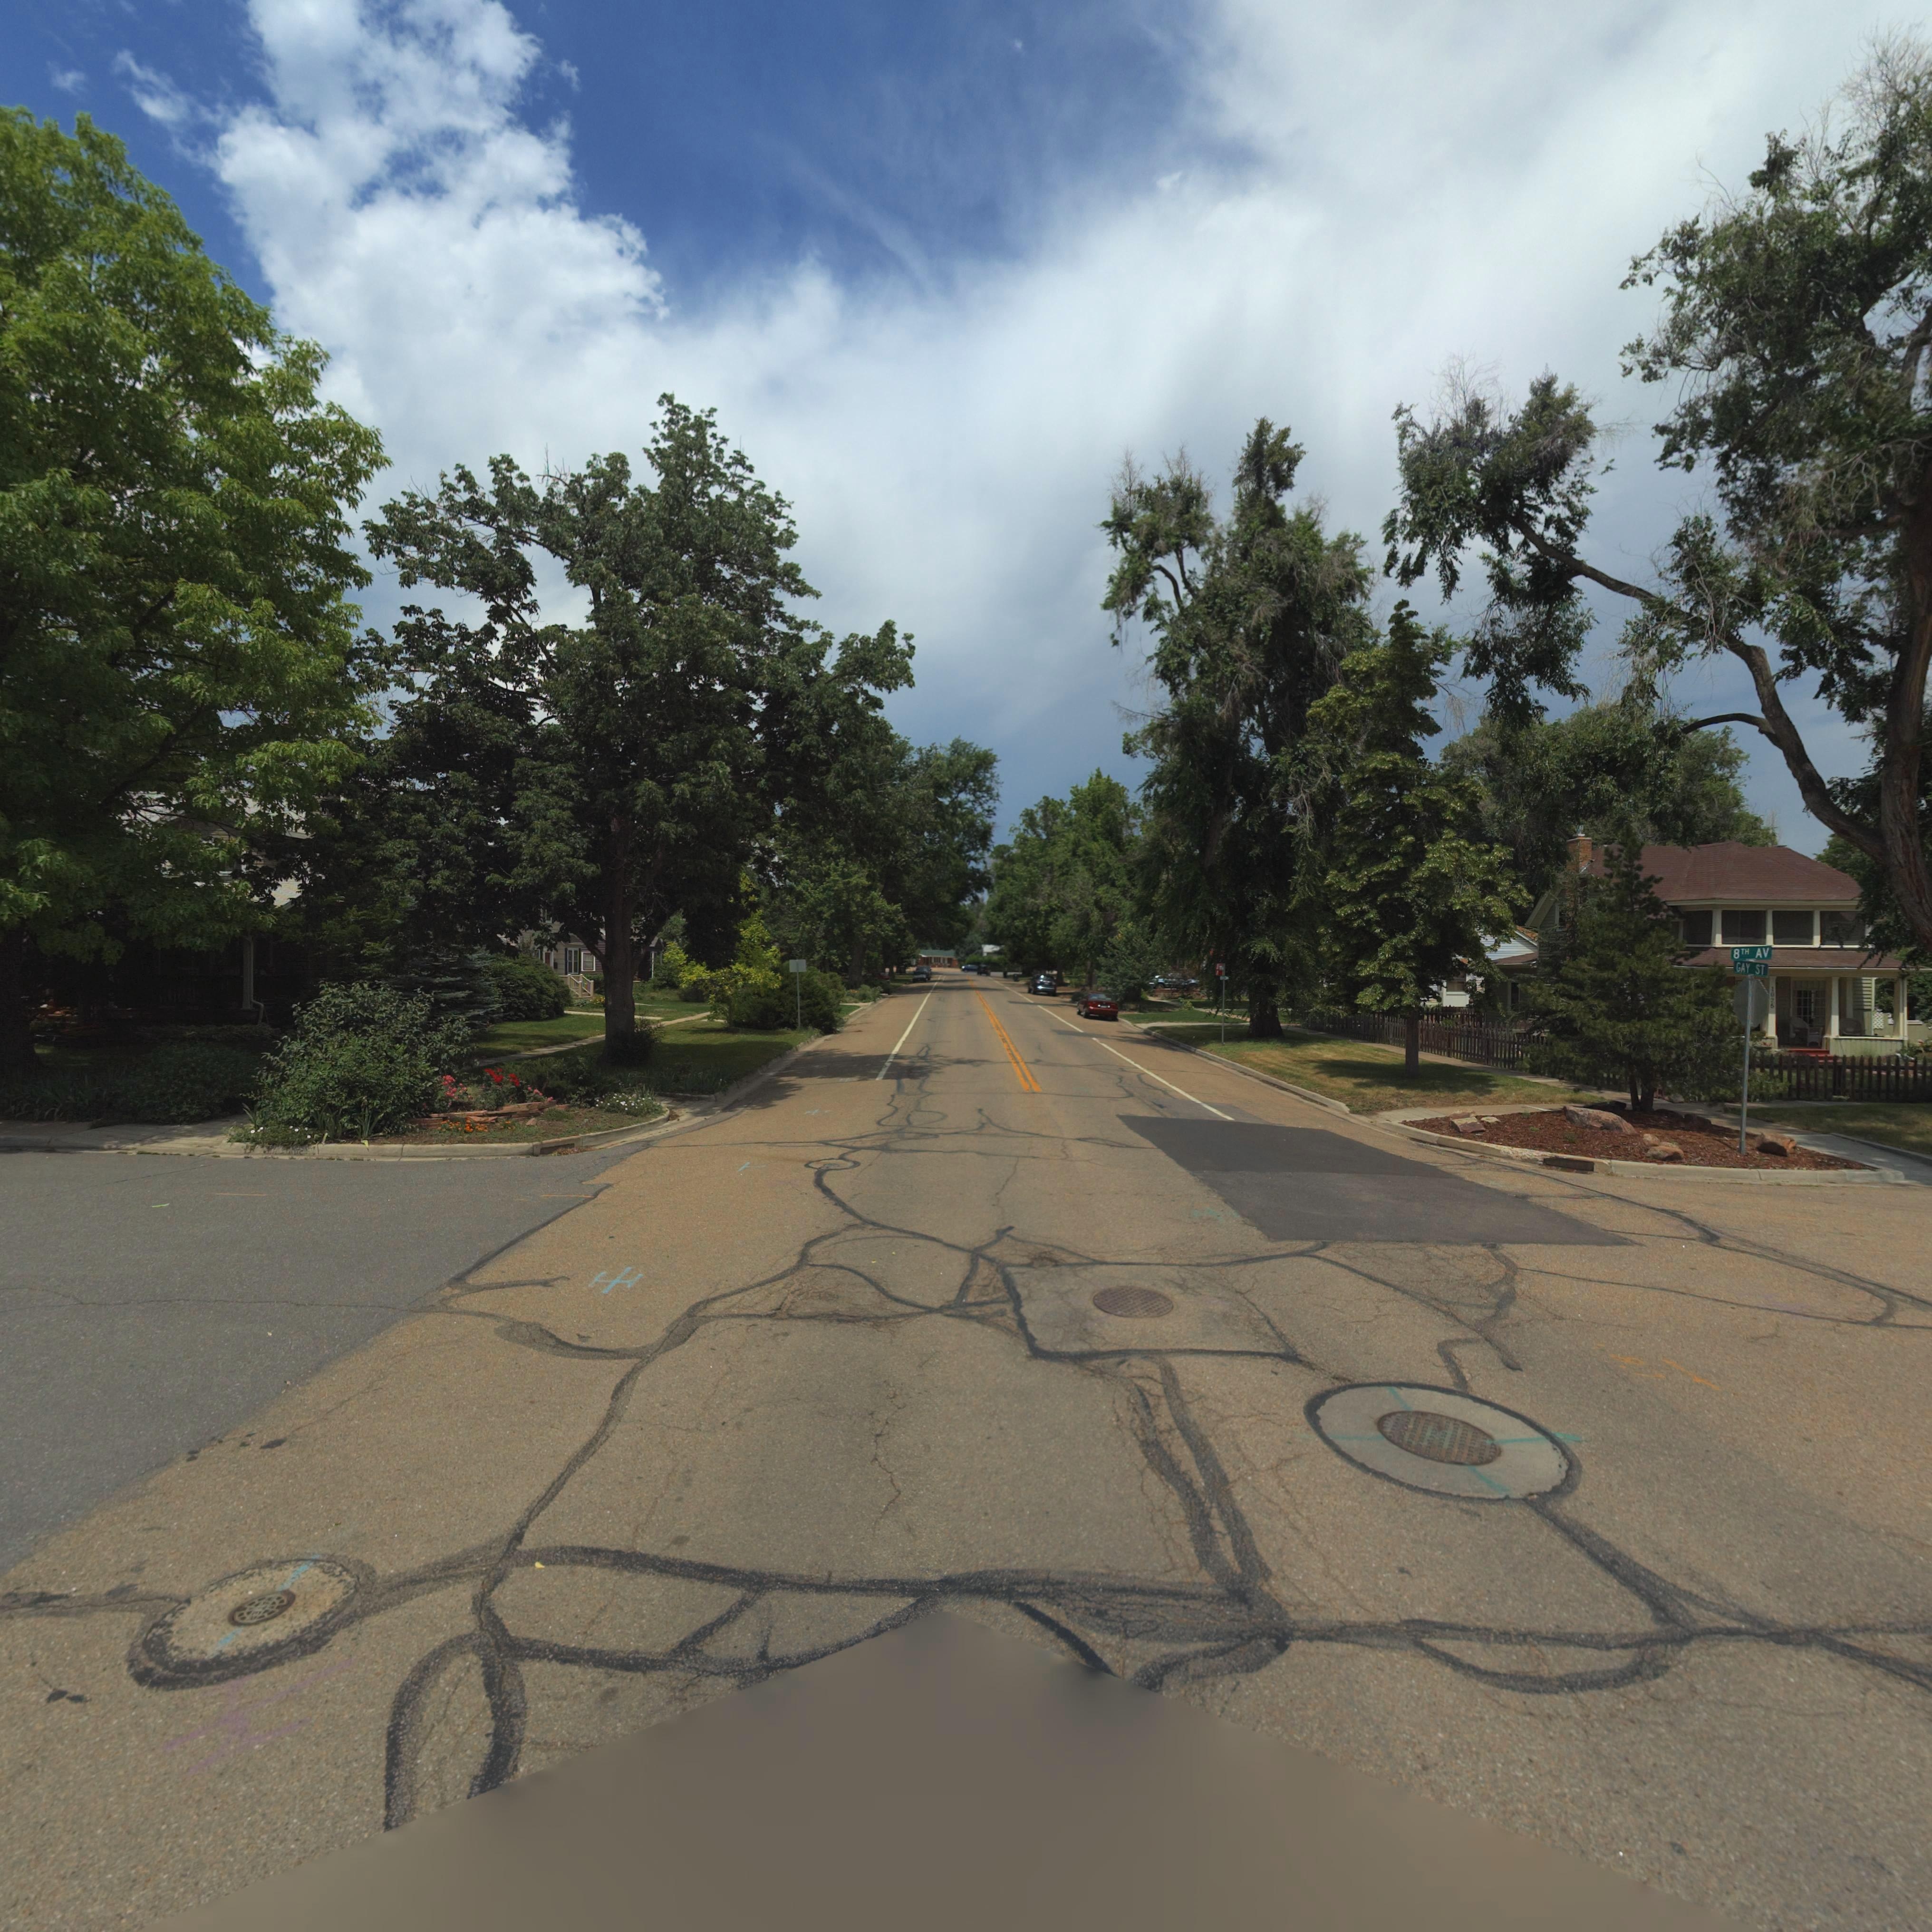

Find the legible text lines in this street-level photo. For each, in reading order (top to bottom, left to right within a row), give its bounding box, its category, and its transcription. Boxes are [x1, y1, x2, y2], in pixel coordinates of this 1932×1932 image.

[1732, 947, 1770, 959] StreetName: 8TH AV
[1735, 961, 1765, 976] StreetName: GAY ST
[1770, 985, 1775, 1009] StreetNumber: 1025